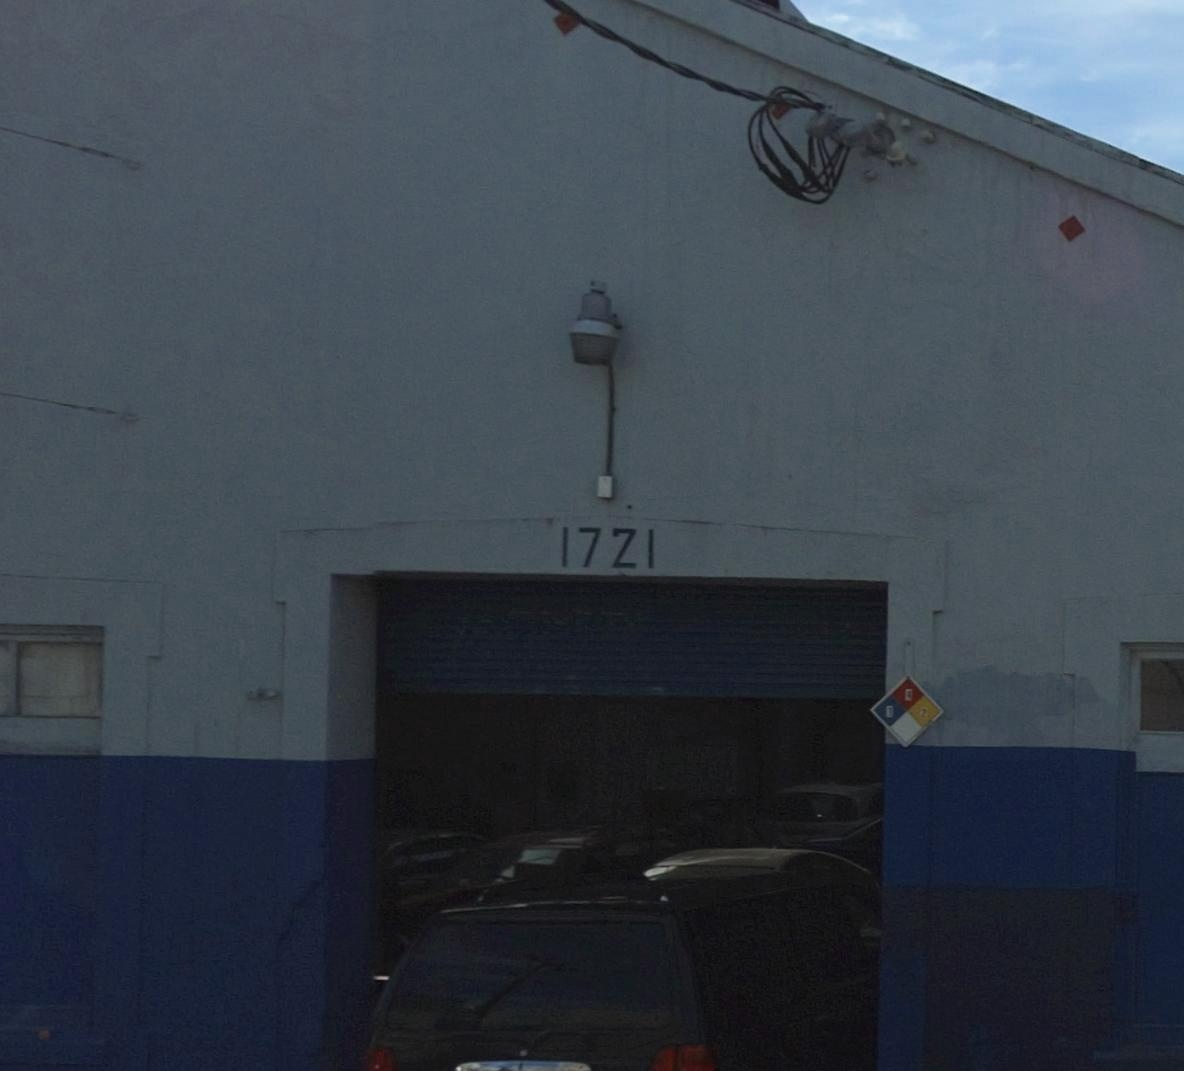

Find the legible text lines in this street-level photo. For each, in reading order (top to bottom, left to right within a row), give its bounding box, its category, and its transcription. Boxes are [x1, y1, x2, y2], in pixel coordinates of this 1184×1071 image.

[556, 523, 661, 573] StreetNumber: 1721
[904, 687, 913, 701] None: 4
[886, 704, 894, 719] None: 1
[919, 705, 929, 722] None: 2